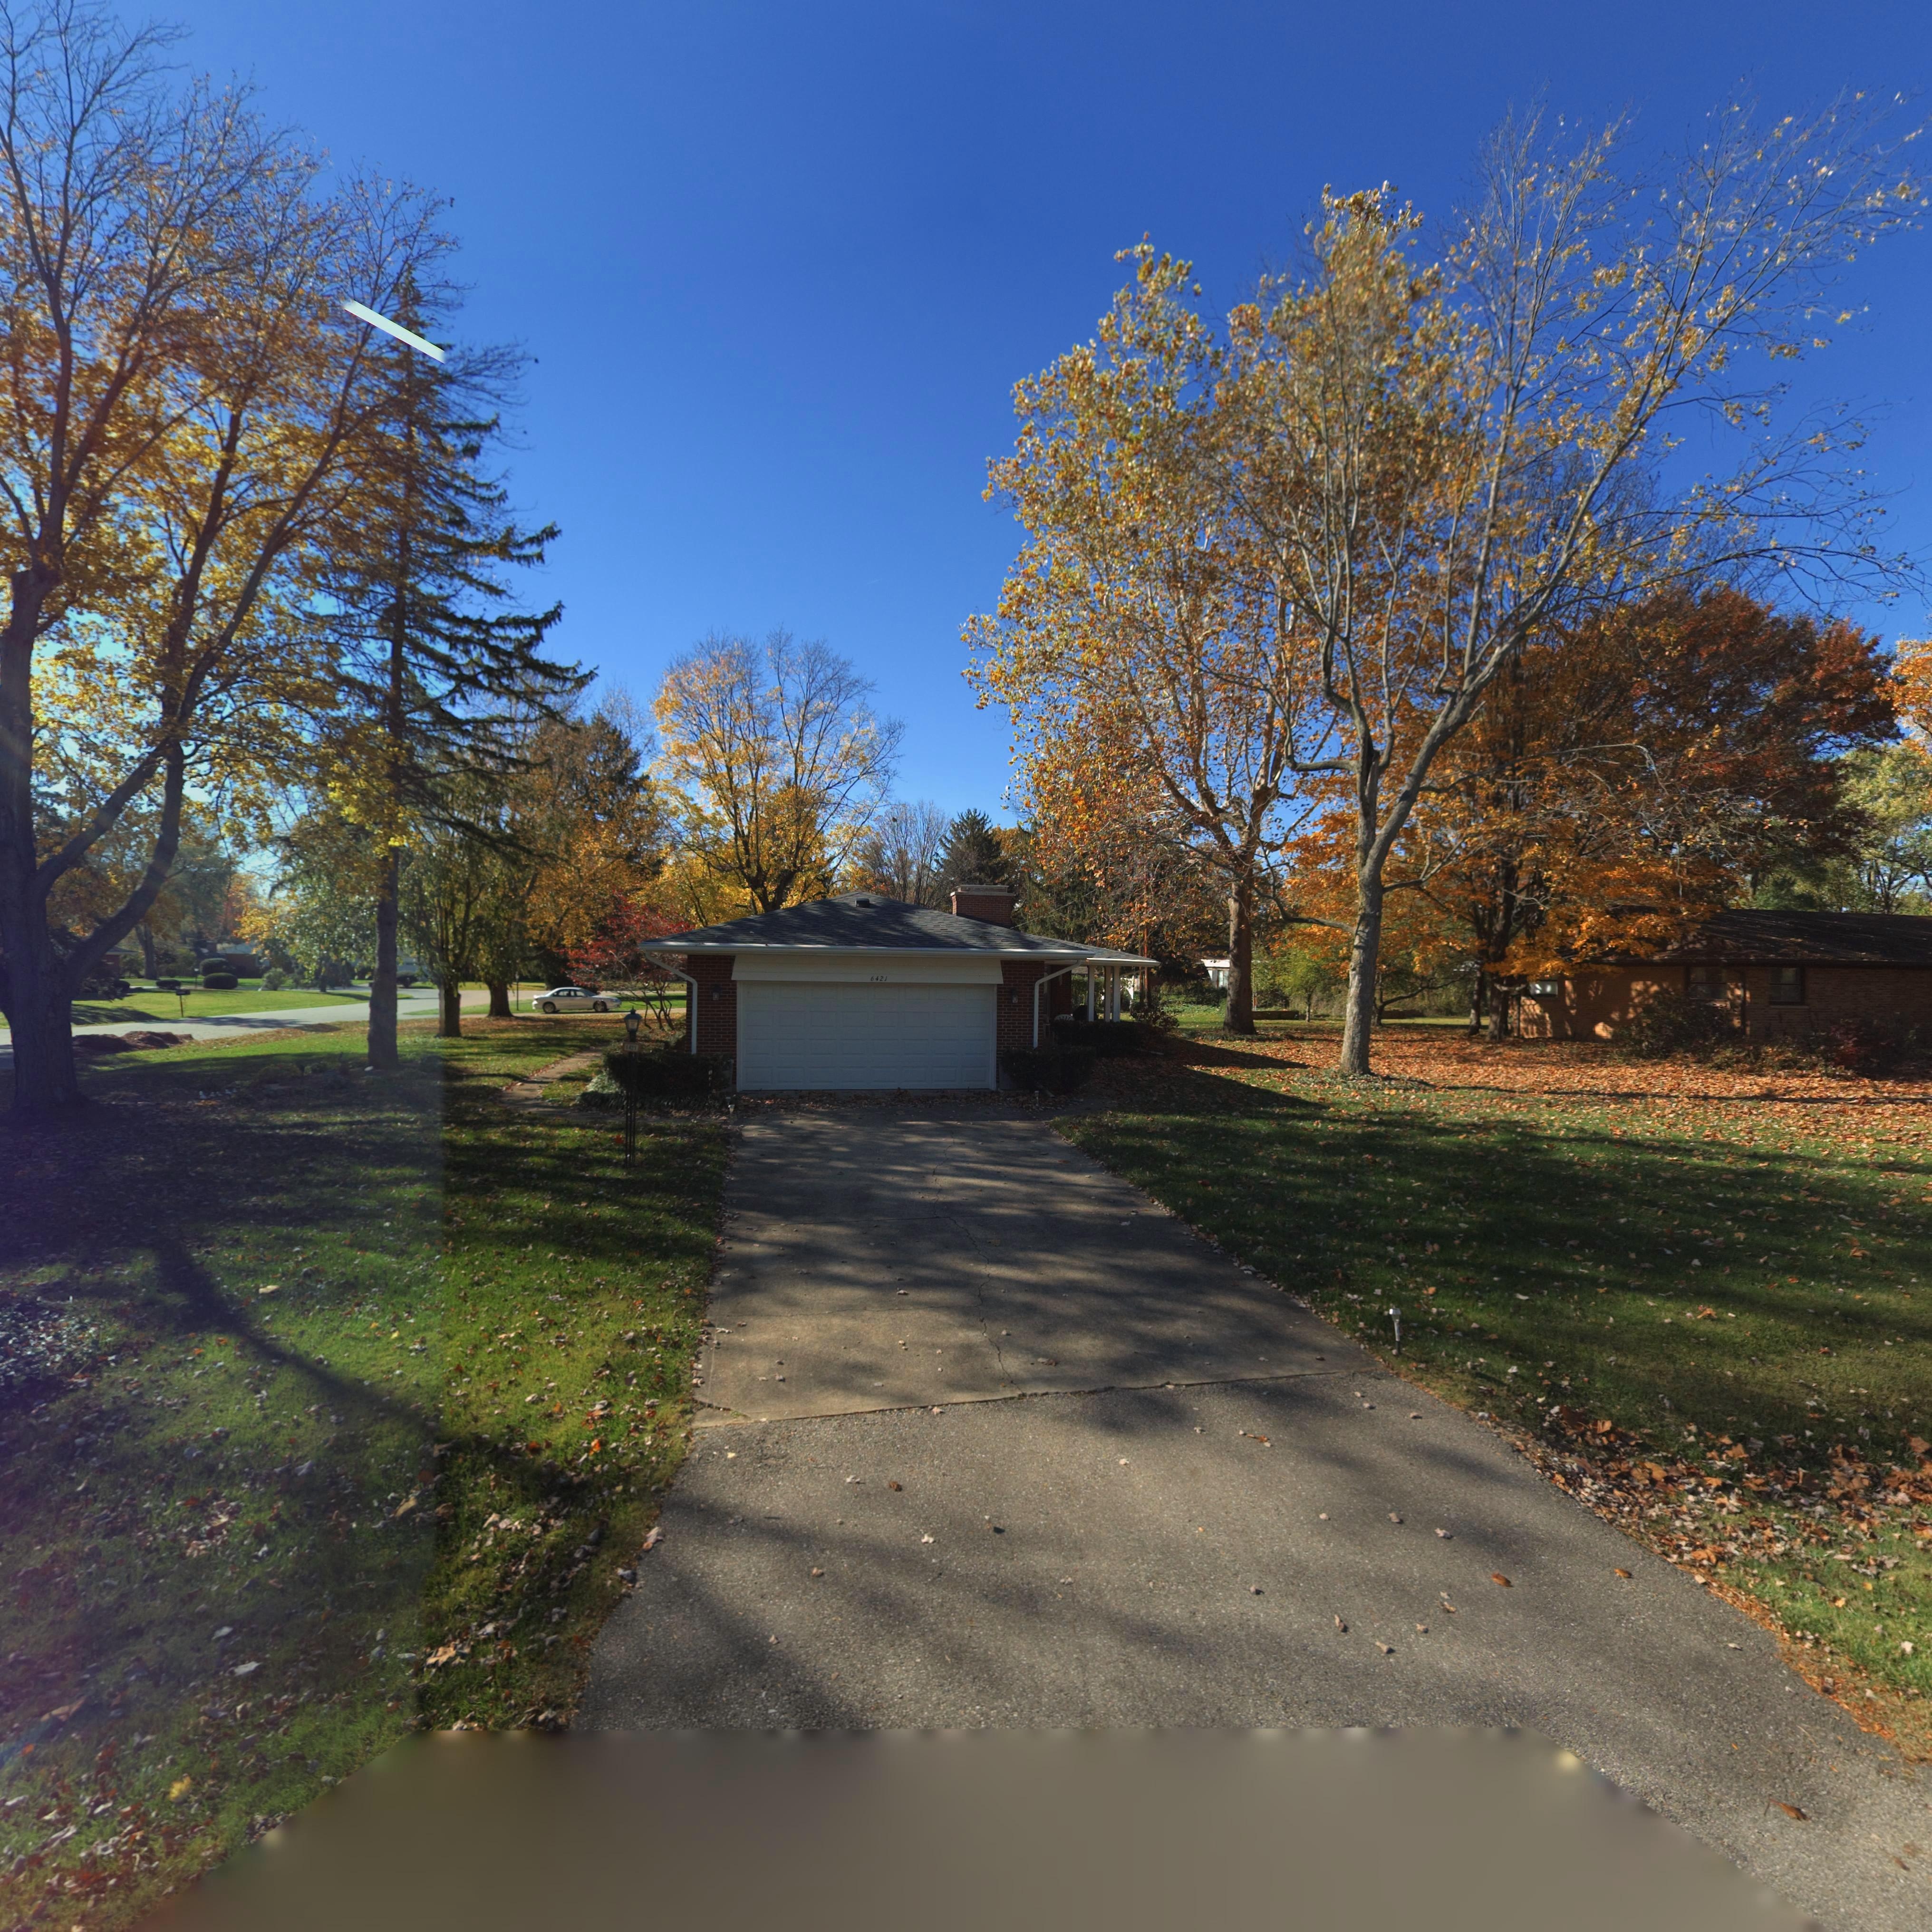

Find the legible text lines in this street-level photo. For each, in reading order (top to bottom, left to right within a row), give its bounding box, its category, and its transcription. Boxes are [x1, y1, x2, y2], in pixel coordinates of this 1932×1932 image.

[870, 975, 888, 982] StreetNumber: 6421
[625, 1044, 637, 1052] StreetNumber: 6421